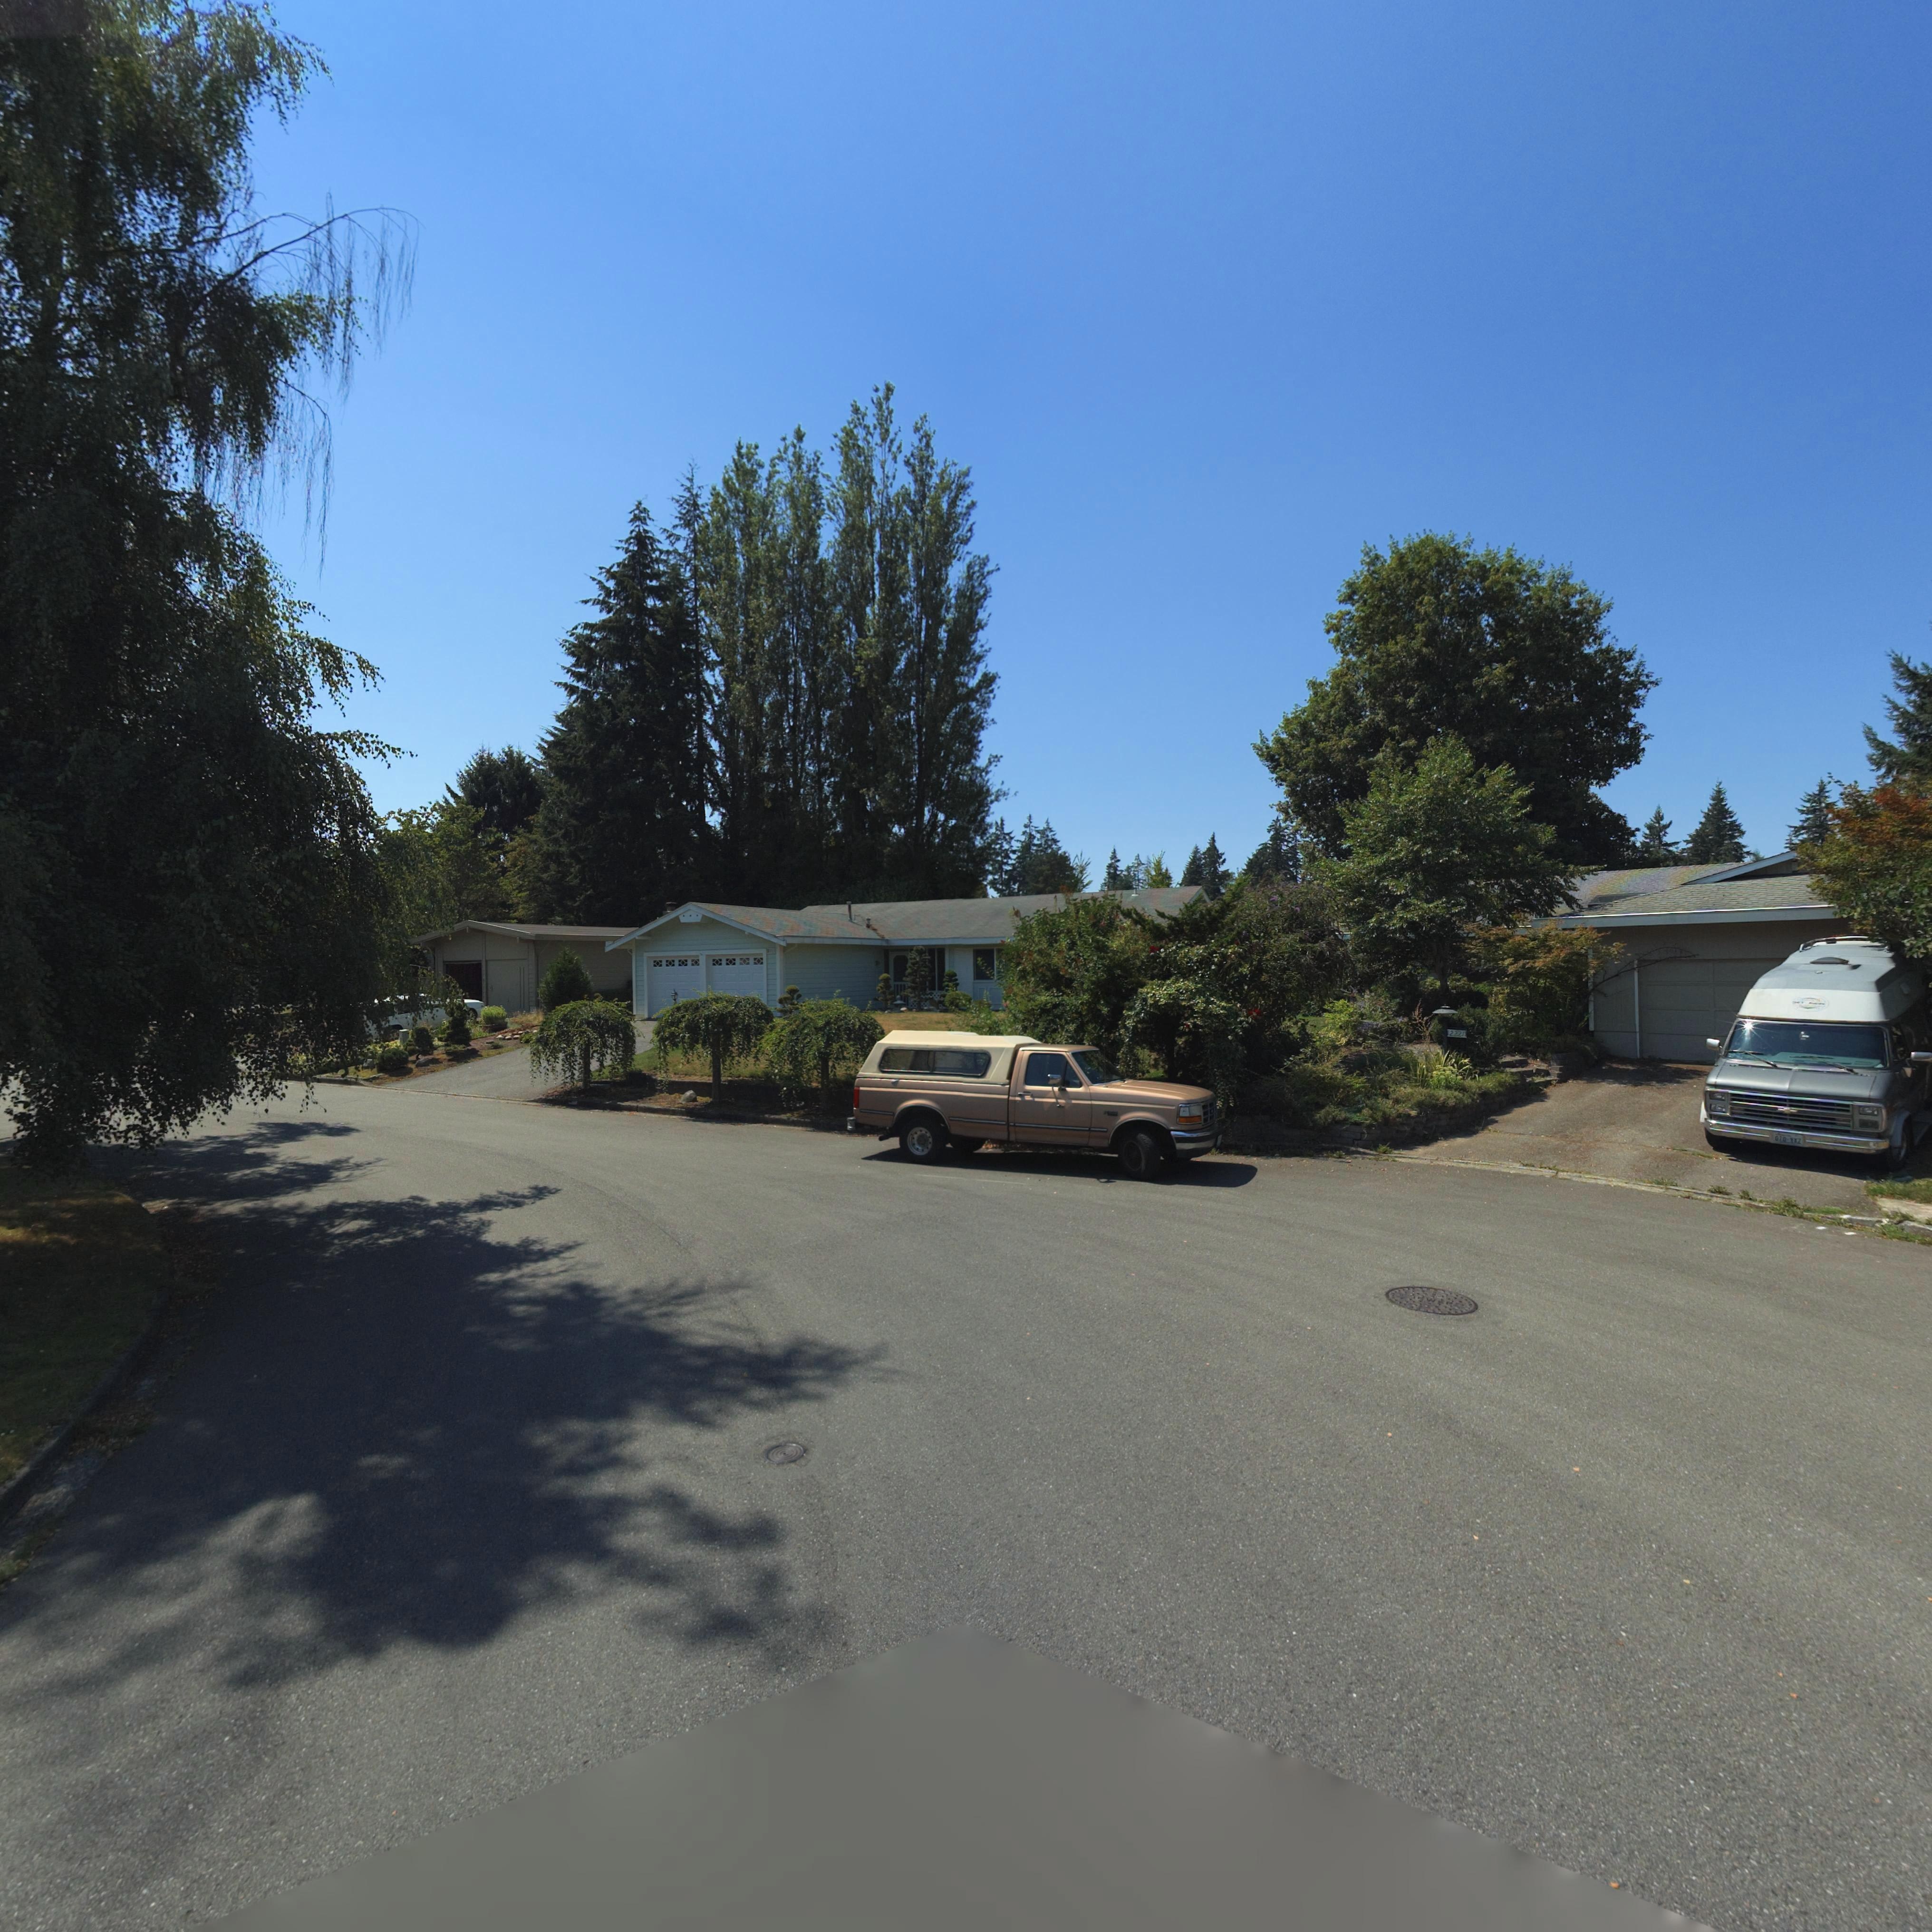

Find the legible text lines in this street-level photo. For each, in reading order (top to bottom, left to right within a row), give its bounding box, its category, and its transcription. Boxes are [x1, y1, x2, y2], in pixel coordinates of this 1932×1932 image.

[1448, 1030, 1467, 1038] StreetNumber: 2221